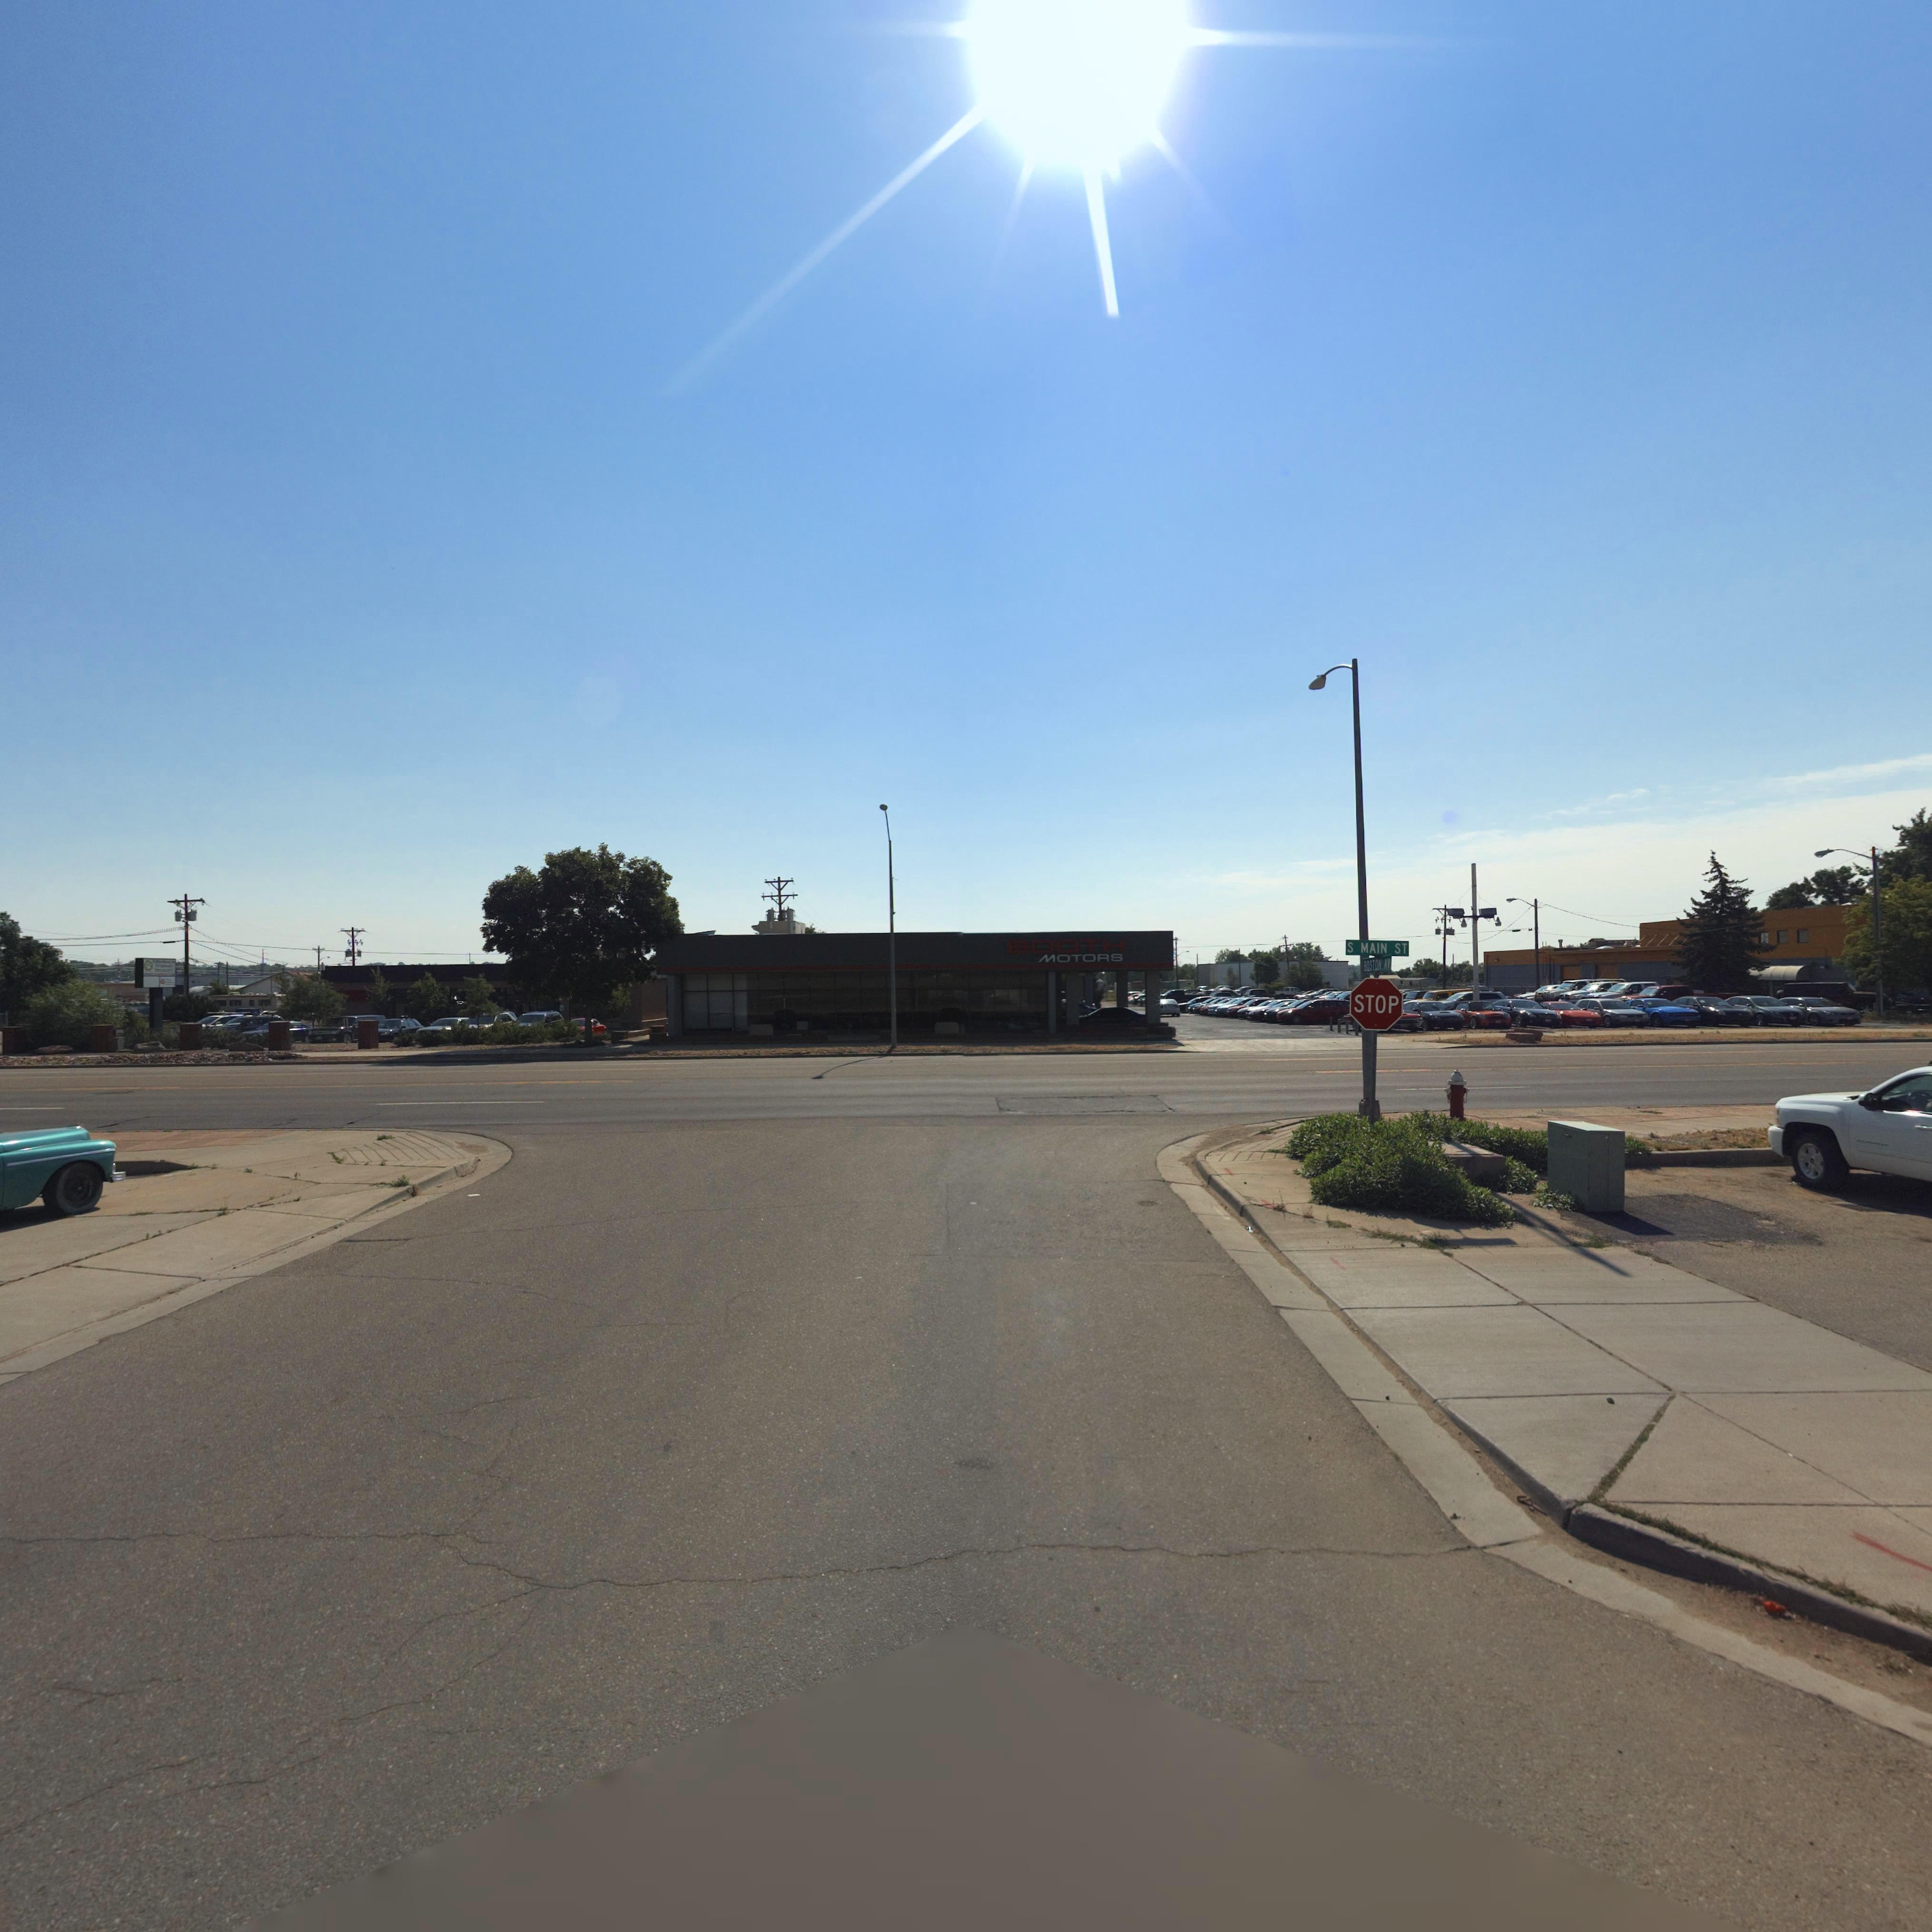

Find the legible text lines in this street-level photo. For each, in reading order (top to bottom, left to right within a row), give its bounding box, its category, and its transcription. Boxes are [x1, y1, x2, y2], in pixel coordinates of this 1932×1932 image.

[1007, 938, 1125, 954] BusinessName: BOOTH
[1347, 941, 1408, 954] StreetName: S MAIN ST
[1037, 954, 1123, 963] BusinessName: MOTORS
[1363, 957, 1390, 971] StreetName: BOSTON AV